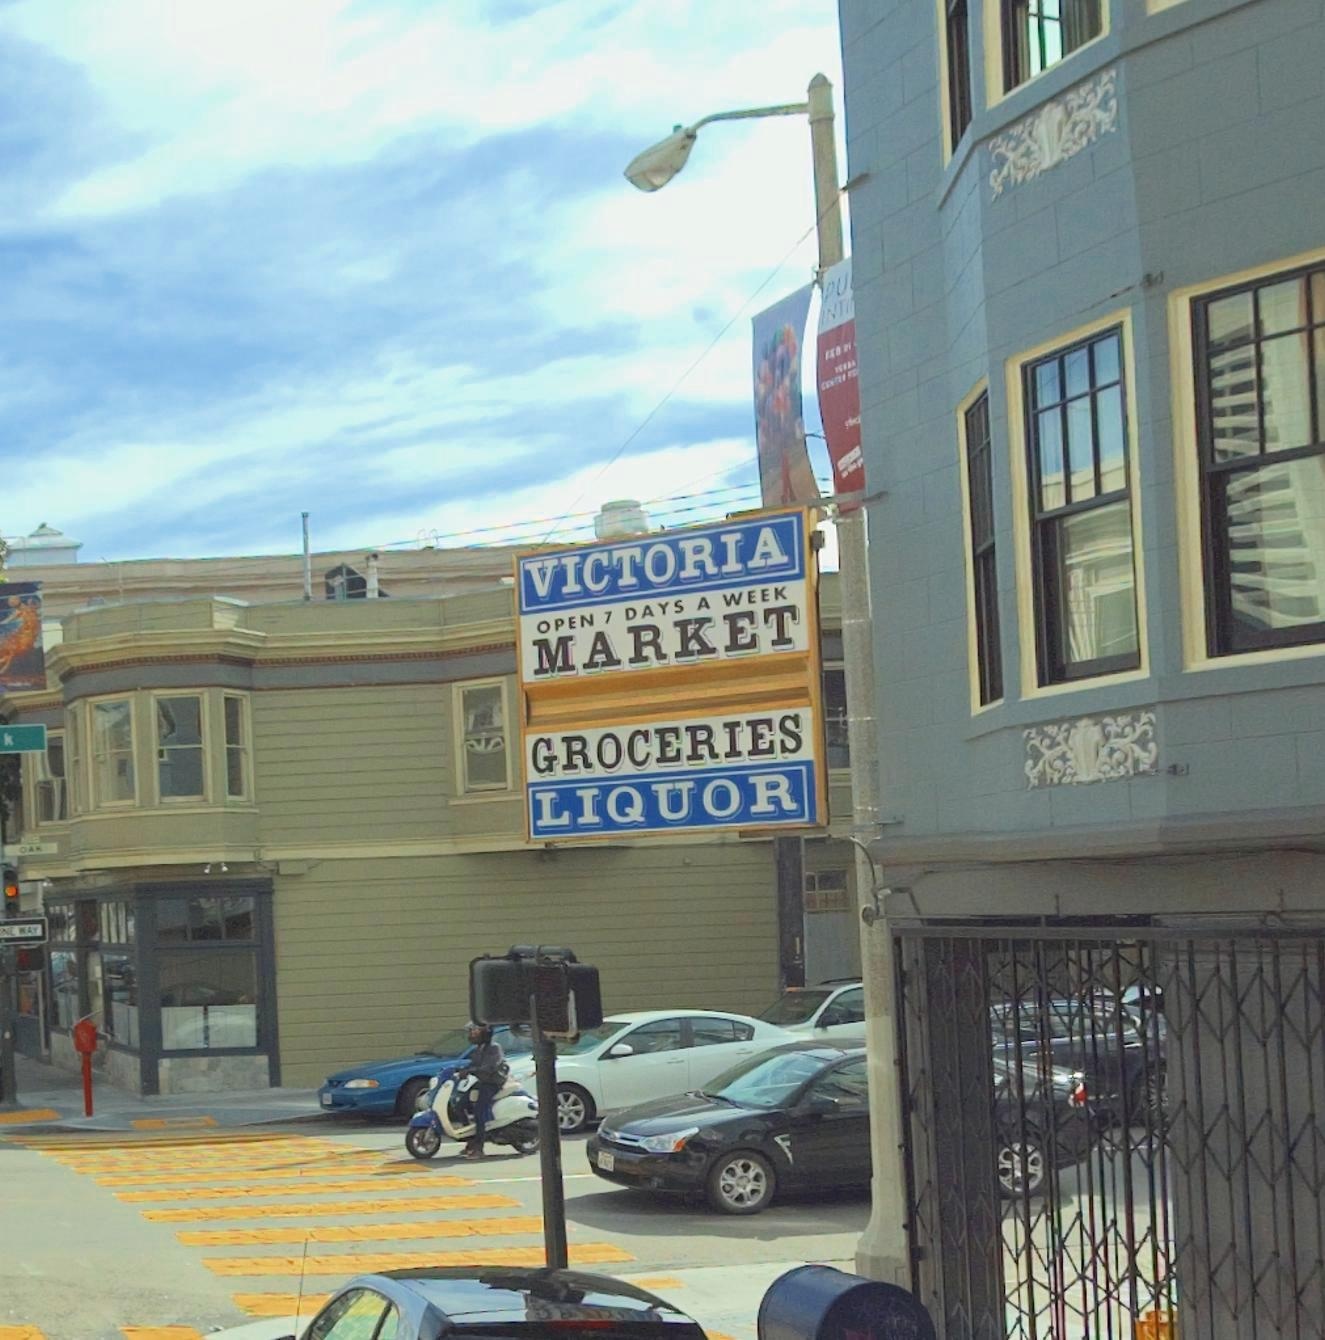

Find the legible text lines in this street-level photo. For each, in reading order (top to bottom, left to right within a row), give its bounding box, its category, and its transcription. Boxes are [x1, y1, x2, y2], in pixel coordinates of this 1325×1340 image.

[818, 294, 850, 331] None: INT
[820, 266, 852, 307] None: PU
[519, 522, 795, 602] BusinessName: VICTORIA
[533, 582, 791, 637] None: OPEN 7 DAYS A WEEK
[530, 601, 800, 679] BusinessName: MARKET
[2, 731, 16, 749] StreetName: k
[530, 710, 805, 777] None: GROCERIES
[532, 770, 801, 829] None: LIQUOR
[16, 843, 46, 857] StreetName: OAK
[15, 923, 42, 938] None: WAY